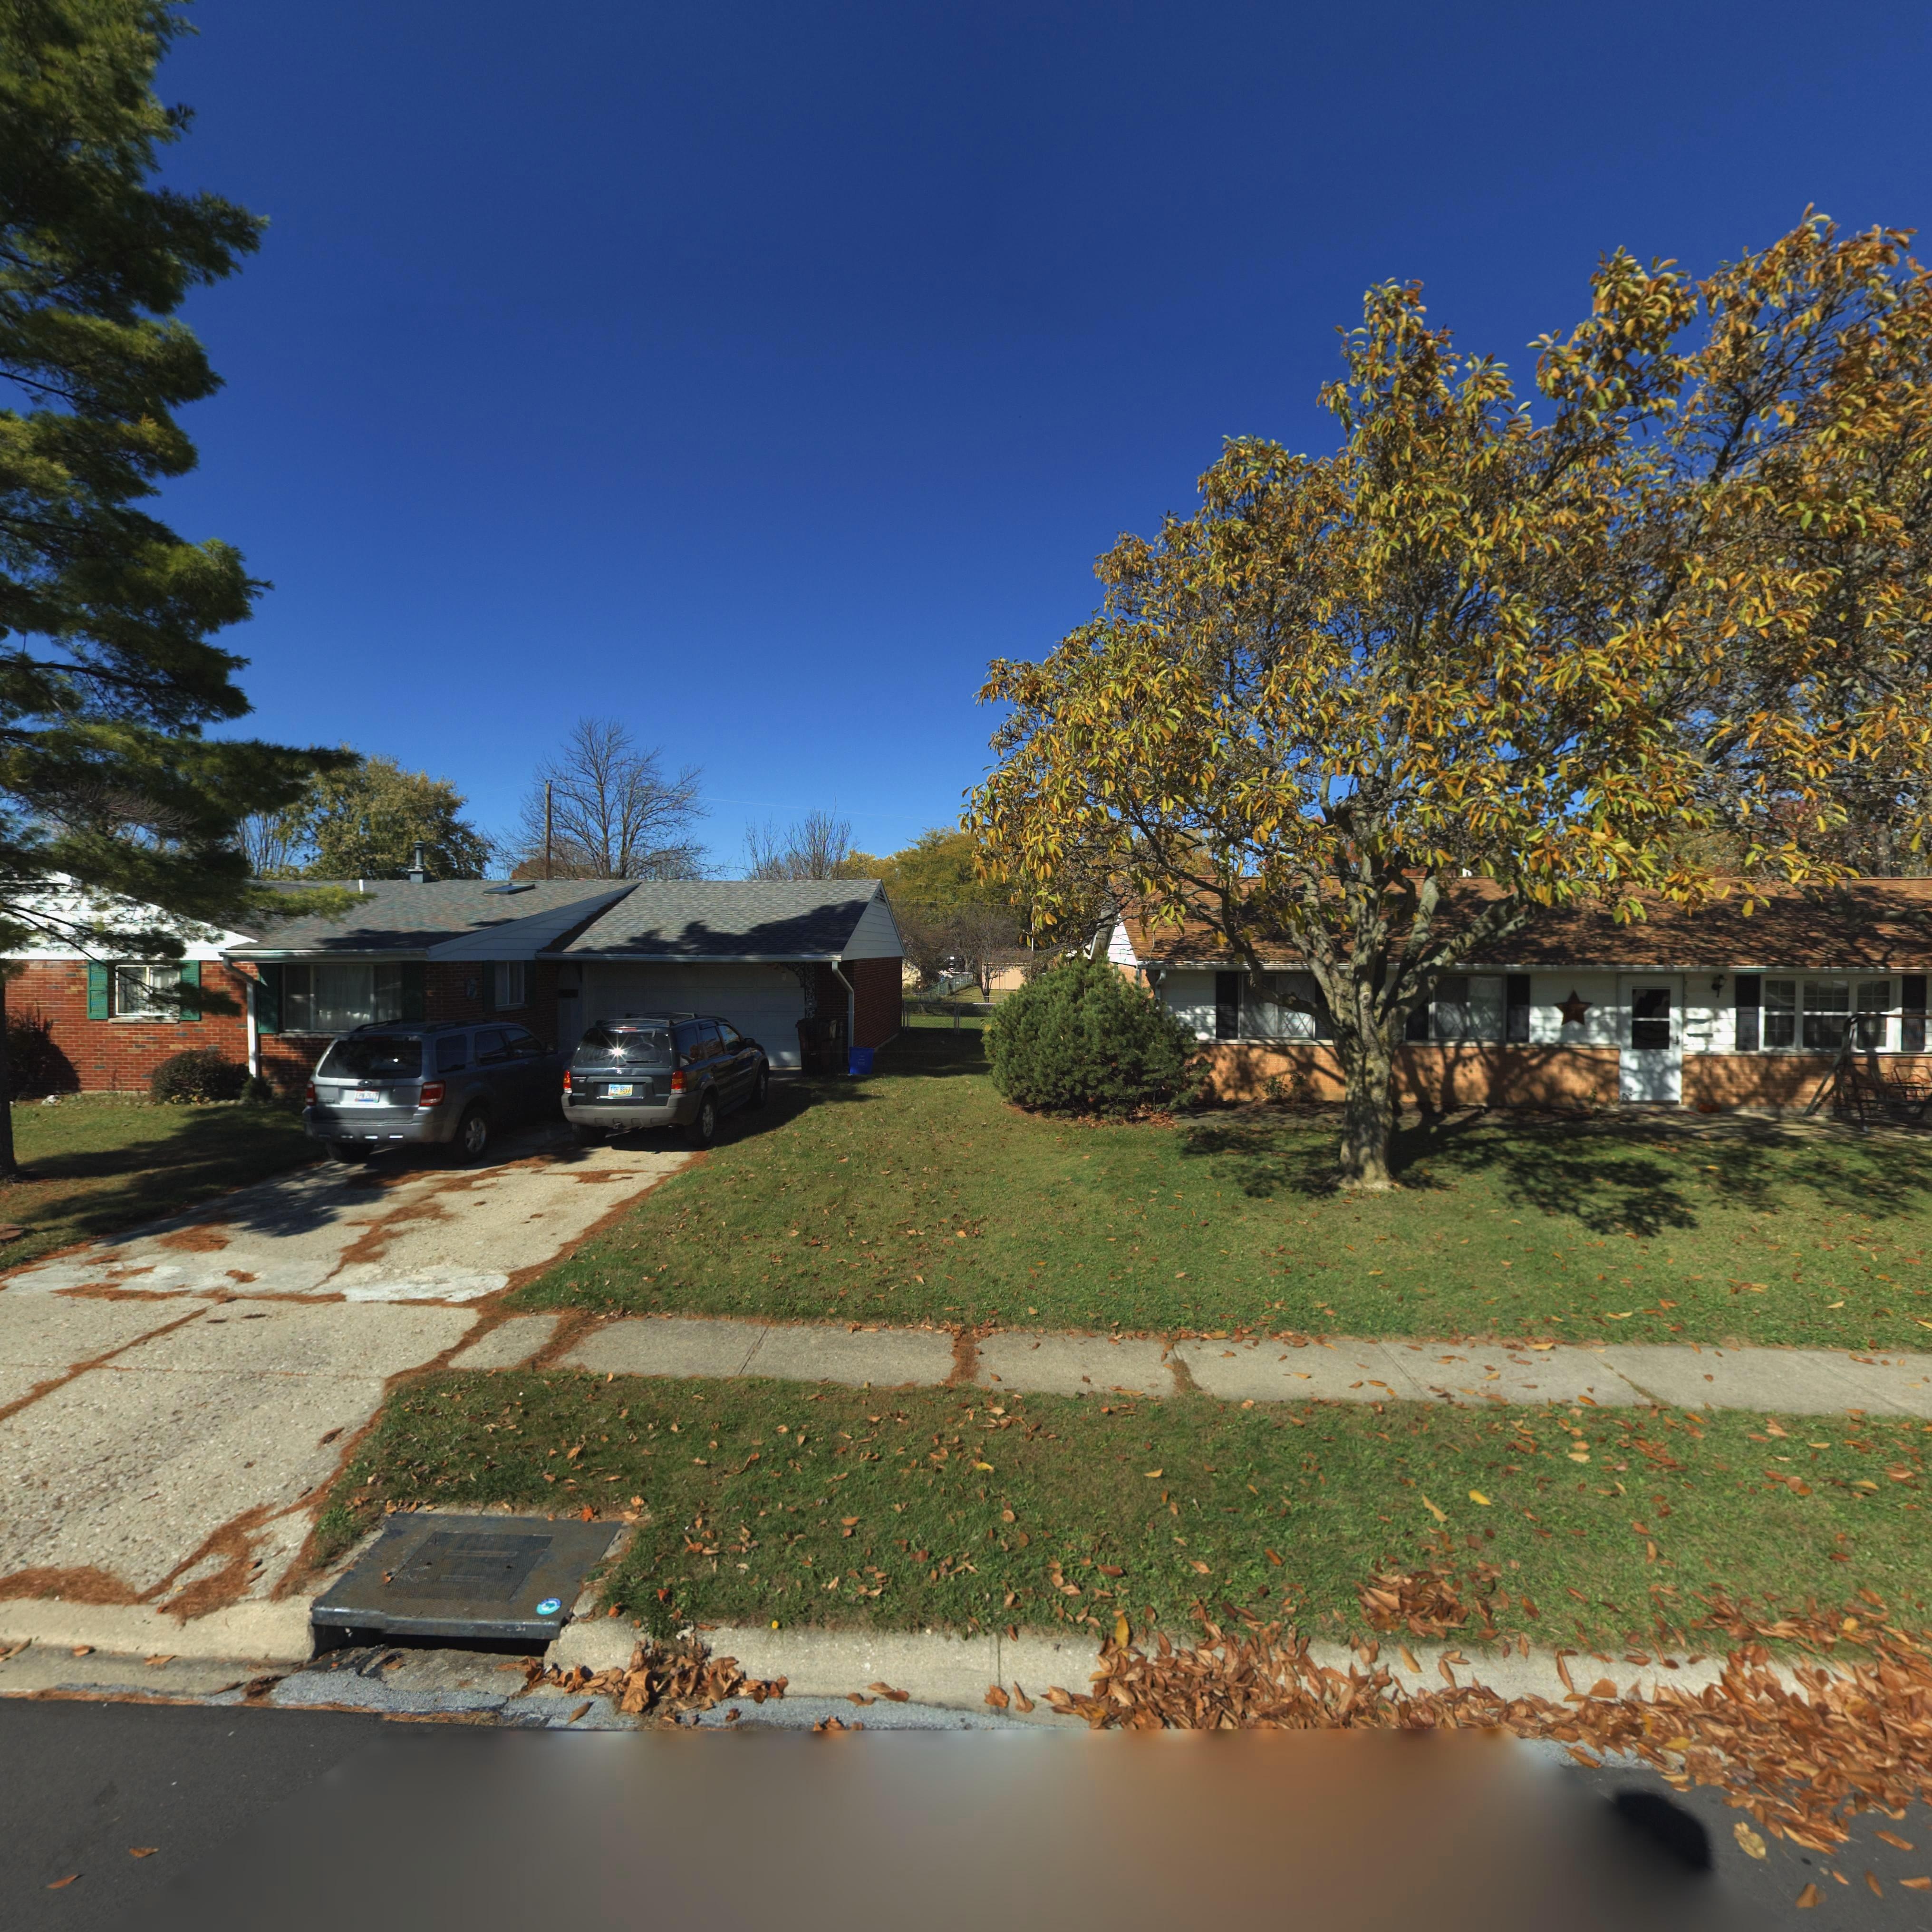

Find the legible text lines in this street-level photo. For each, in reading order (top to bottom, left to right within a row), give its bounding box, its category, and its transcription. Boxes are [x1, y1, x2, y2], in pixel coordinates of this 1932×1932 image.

[1682, 980, 1689, 1014] StreetNumber: *01